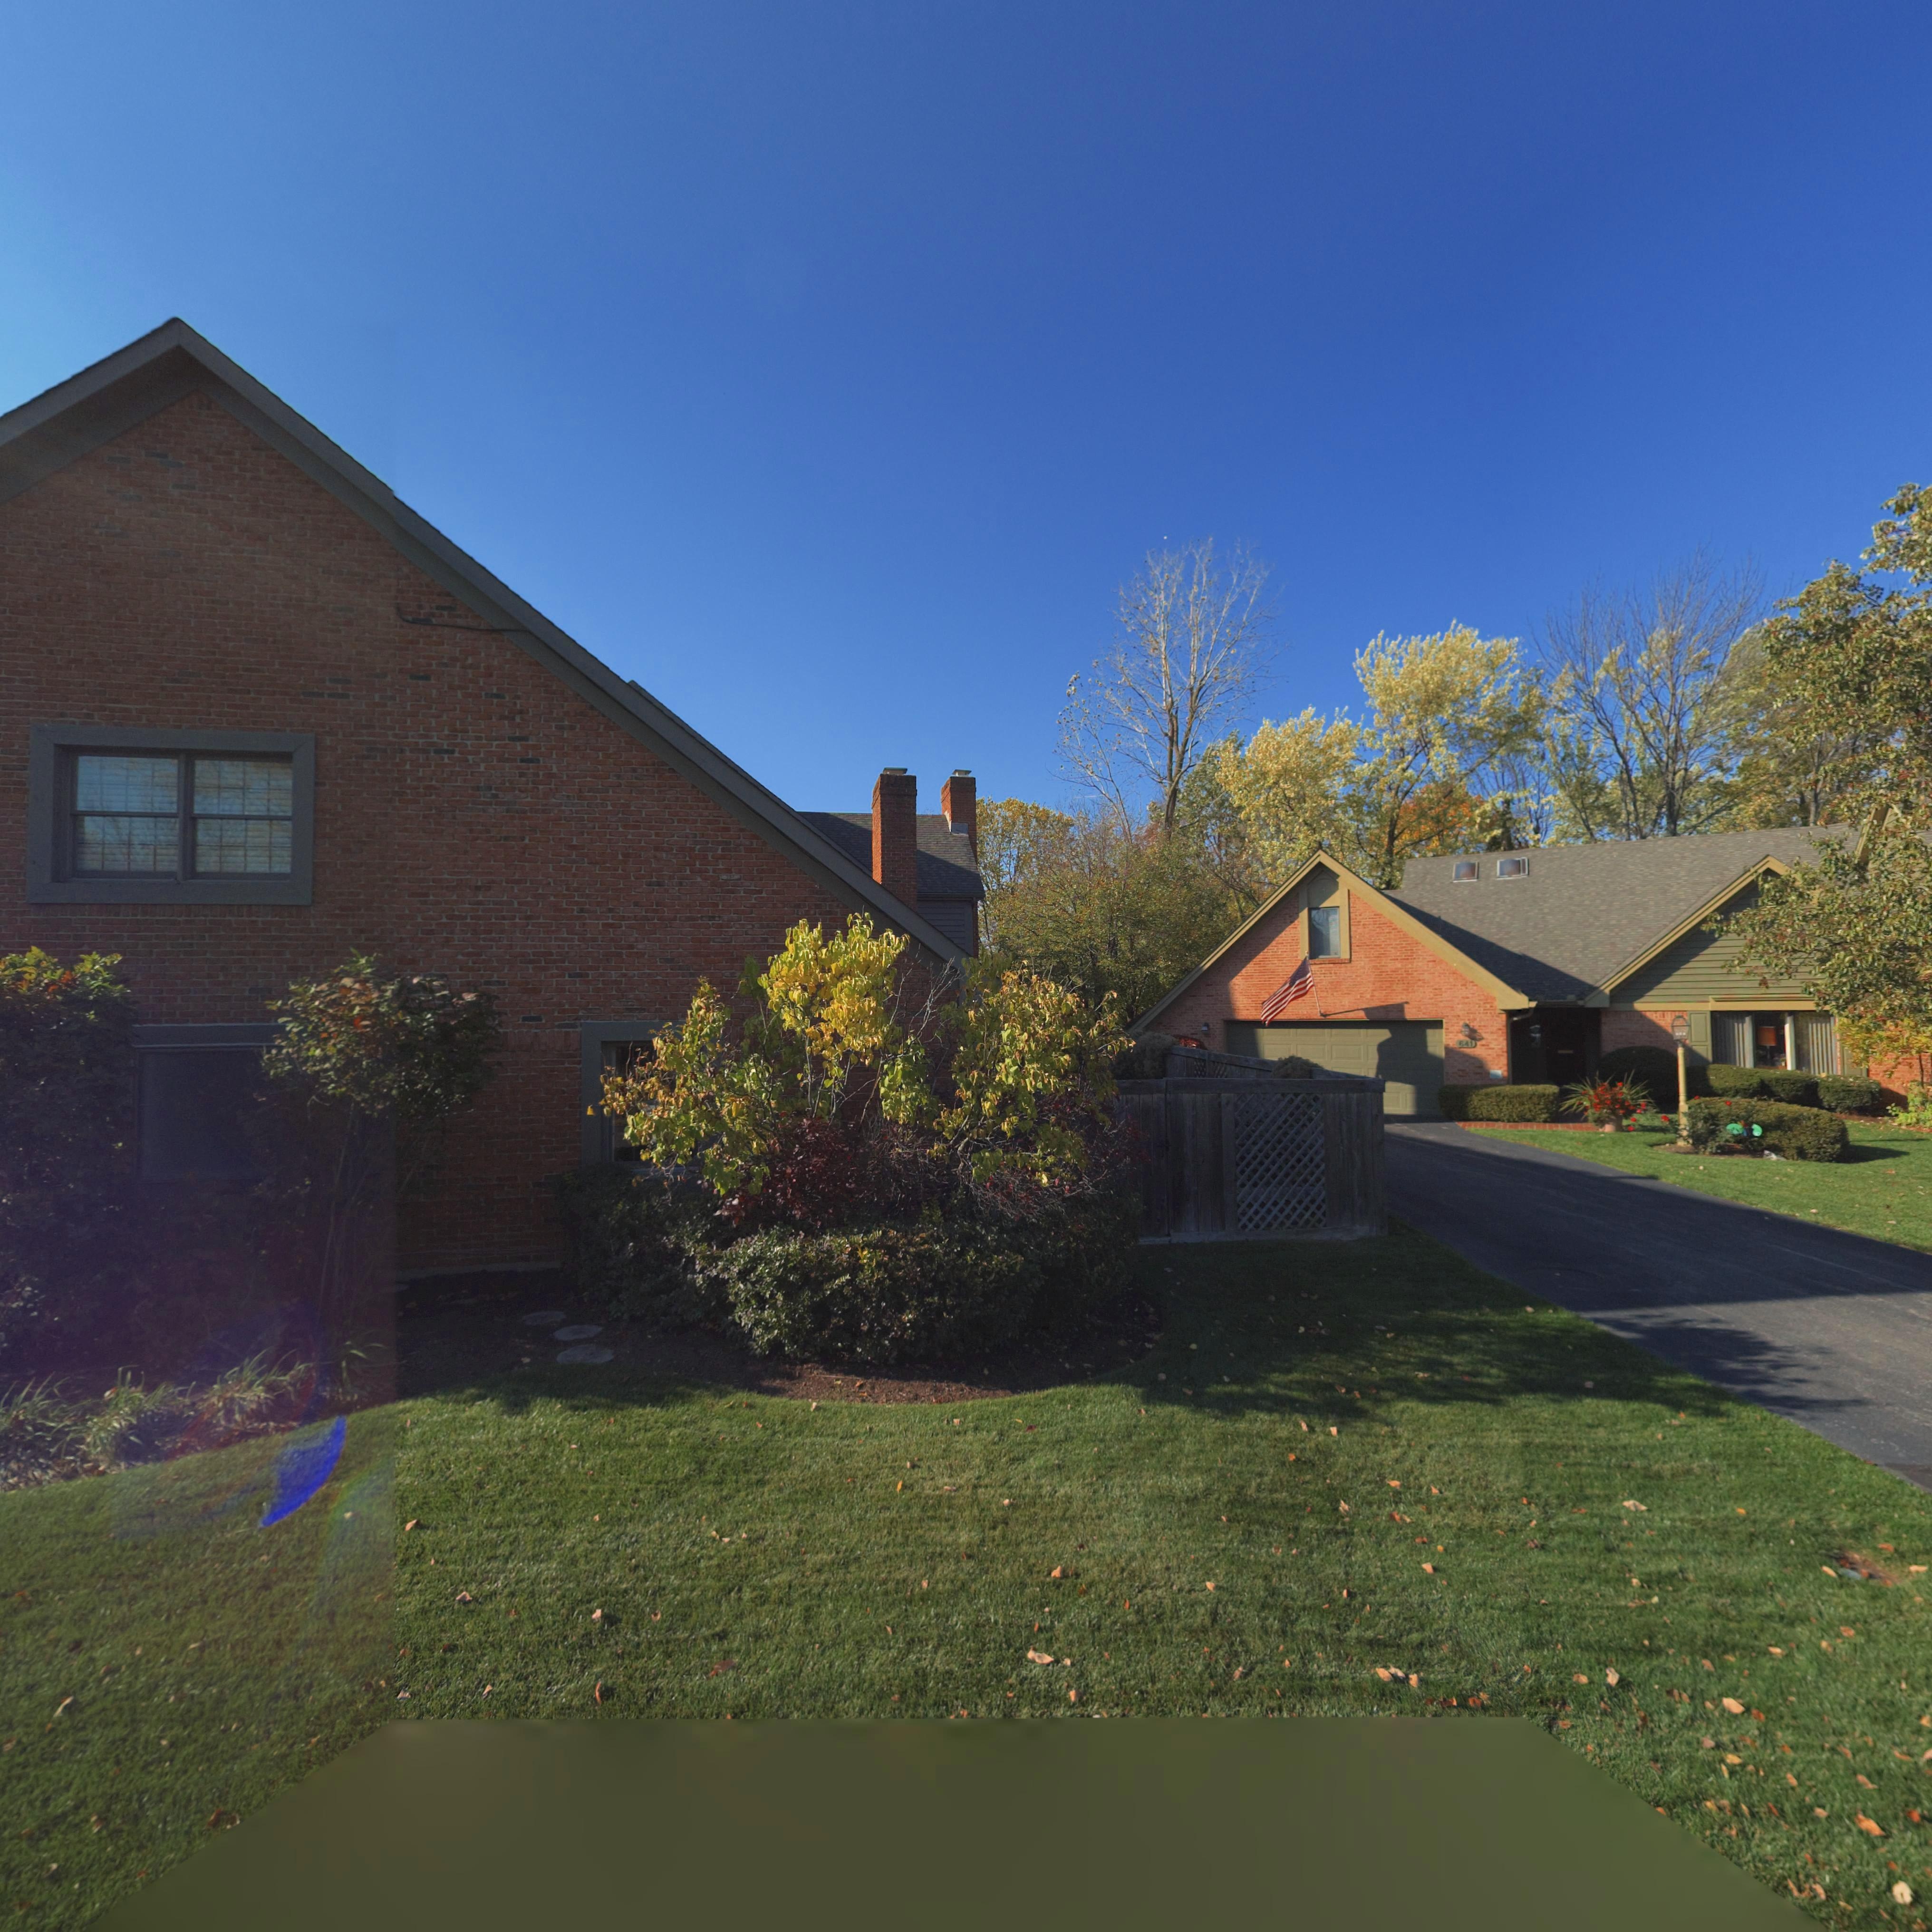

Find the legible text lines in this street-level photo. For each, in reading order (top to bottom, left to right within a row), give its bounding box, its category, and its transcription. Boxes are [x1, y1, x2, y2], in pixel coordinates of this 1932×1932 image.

[1459, 1040, 1473, 1047] StreetNumber: 641